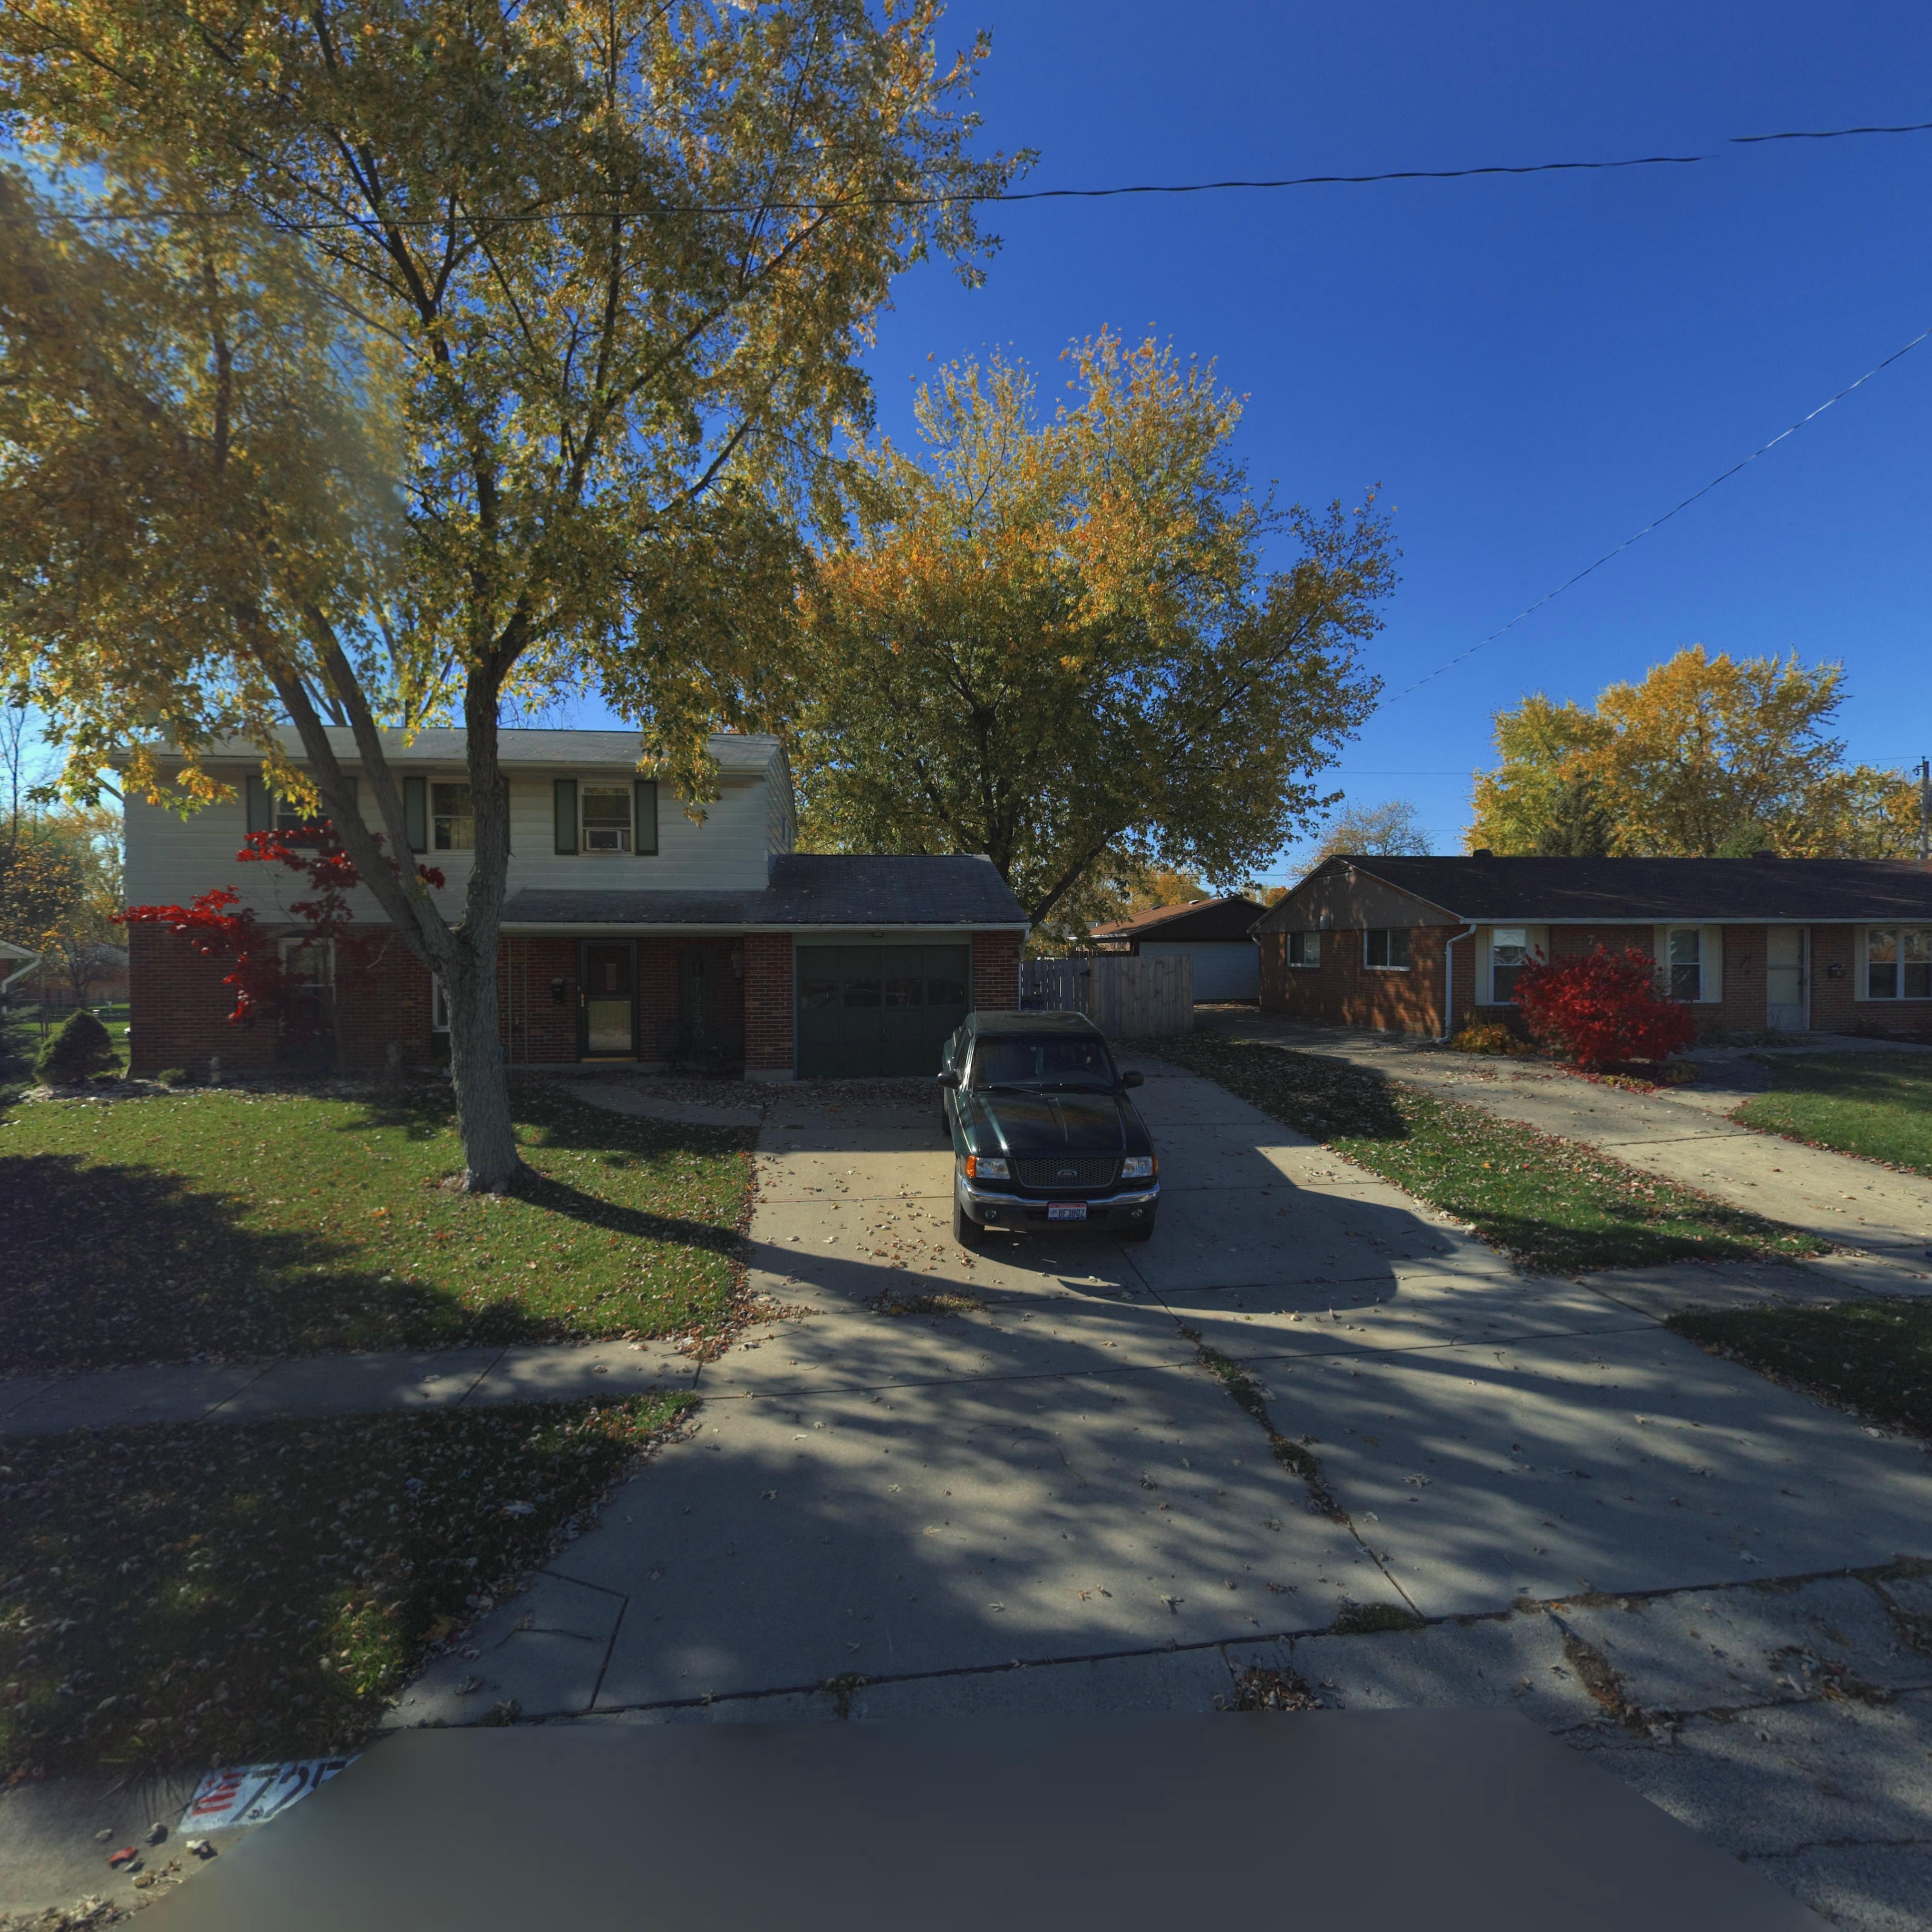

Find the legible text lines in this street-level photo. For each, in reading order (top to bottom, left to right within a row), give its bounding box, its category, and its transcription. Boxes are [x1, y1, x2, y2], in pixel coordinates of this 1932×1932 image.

[1586, 934, 1596, 947] StreetNumber: 7
[692, 976, 706, 1041] StreetNumber: 7250
[227, 1766, 285, 1826] StreetNumber: 7